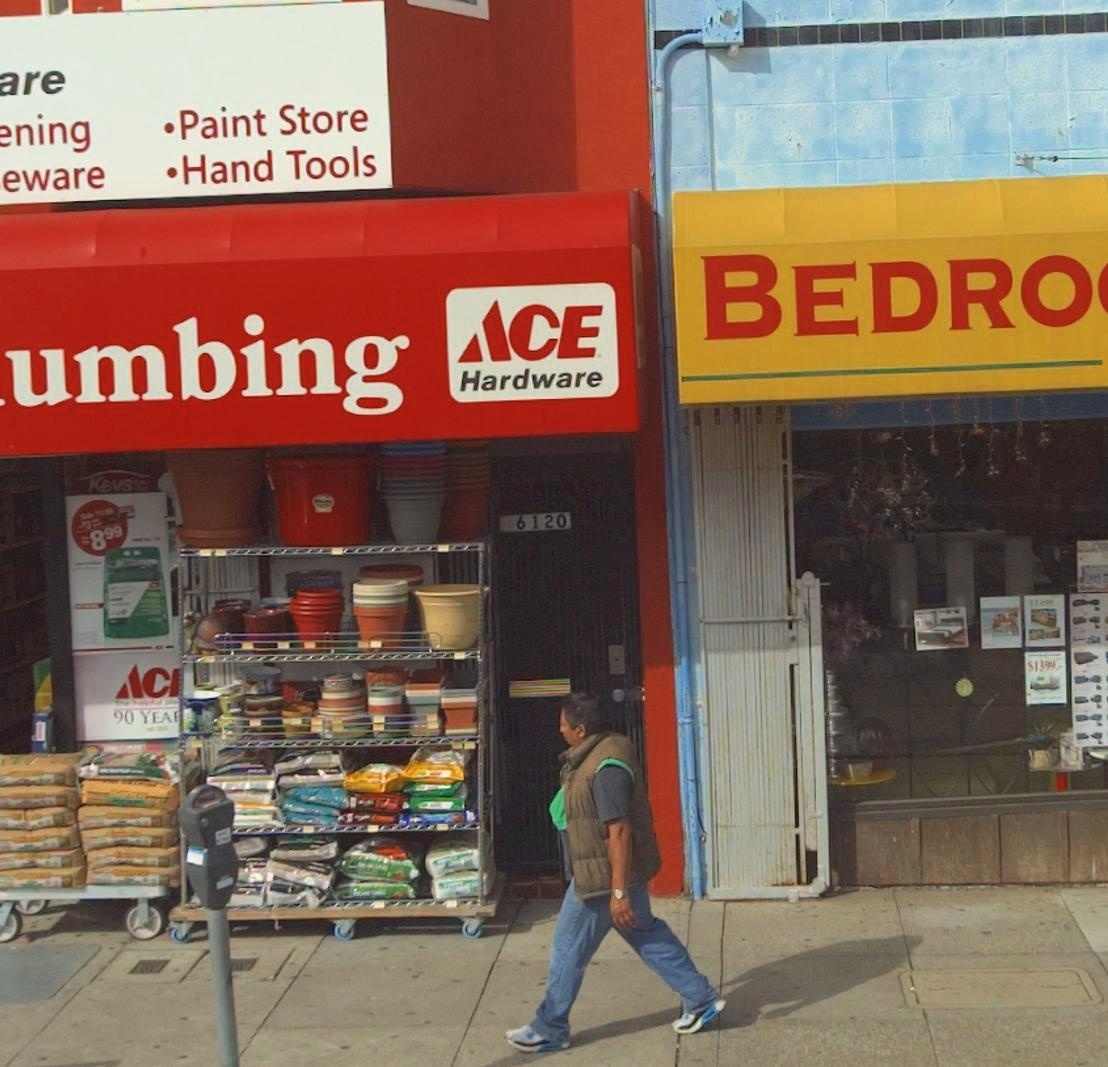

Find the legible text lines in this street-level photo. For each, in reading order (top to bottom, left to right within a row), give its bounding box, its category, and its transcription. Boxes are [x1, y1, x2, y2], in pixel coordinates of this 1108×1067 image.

[22, 69, 68, 96] BusinessName: re
[13, 111, 93, 155] None: ning
[179, 103, 371, 142] None: Paint Store
[182, 143, 380, 186] None: Hand Tools
[1, 165, 108, 194] None: eware
[697, 253, 1096, 342] BusinessName: BEDRO
[455, 296, 604, 364] BusinessName: ACE
[2, 312, 412, 417] None: umbing
[458, 366, 605, 393] BusinessName: Hardware
[86, 474, 135, 495] None: Ke*s
[516, 513, 568, 530] StreetNumber: 6120
[87, 524, 124, 553] None: 899
[114, 662, 173, 700] BusinessName: AC
[1025, 658, 1058, 675] None: $3*9
[112, 707, 175, 727] None: 90 YEA